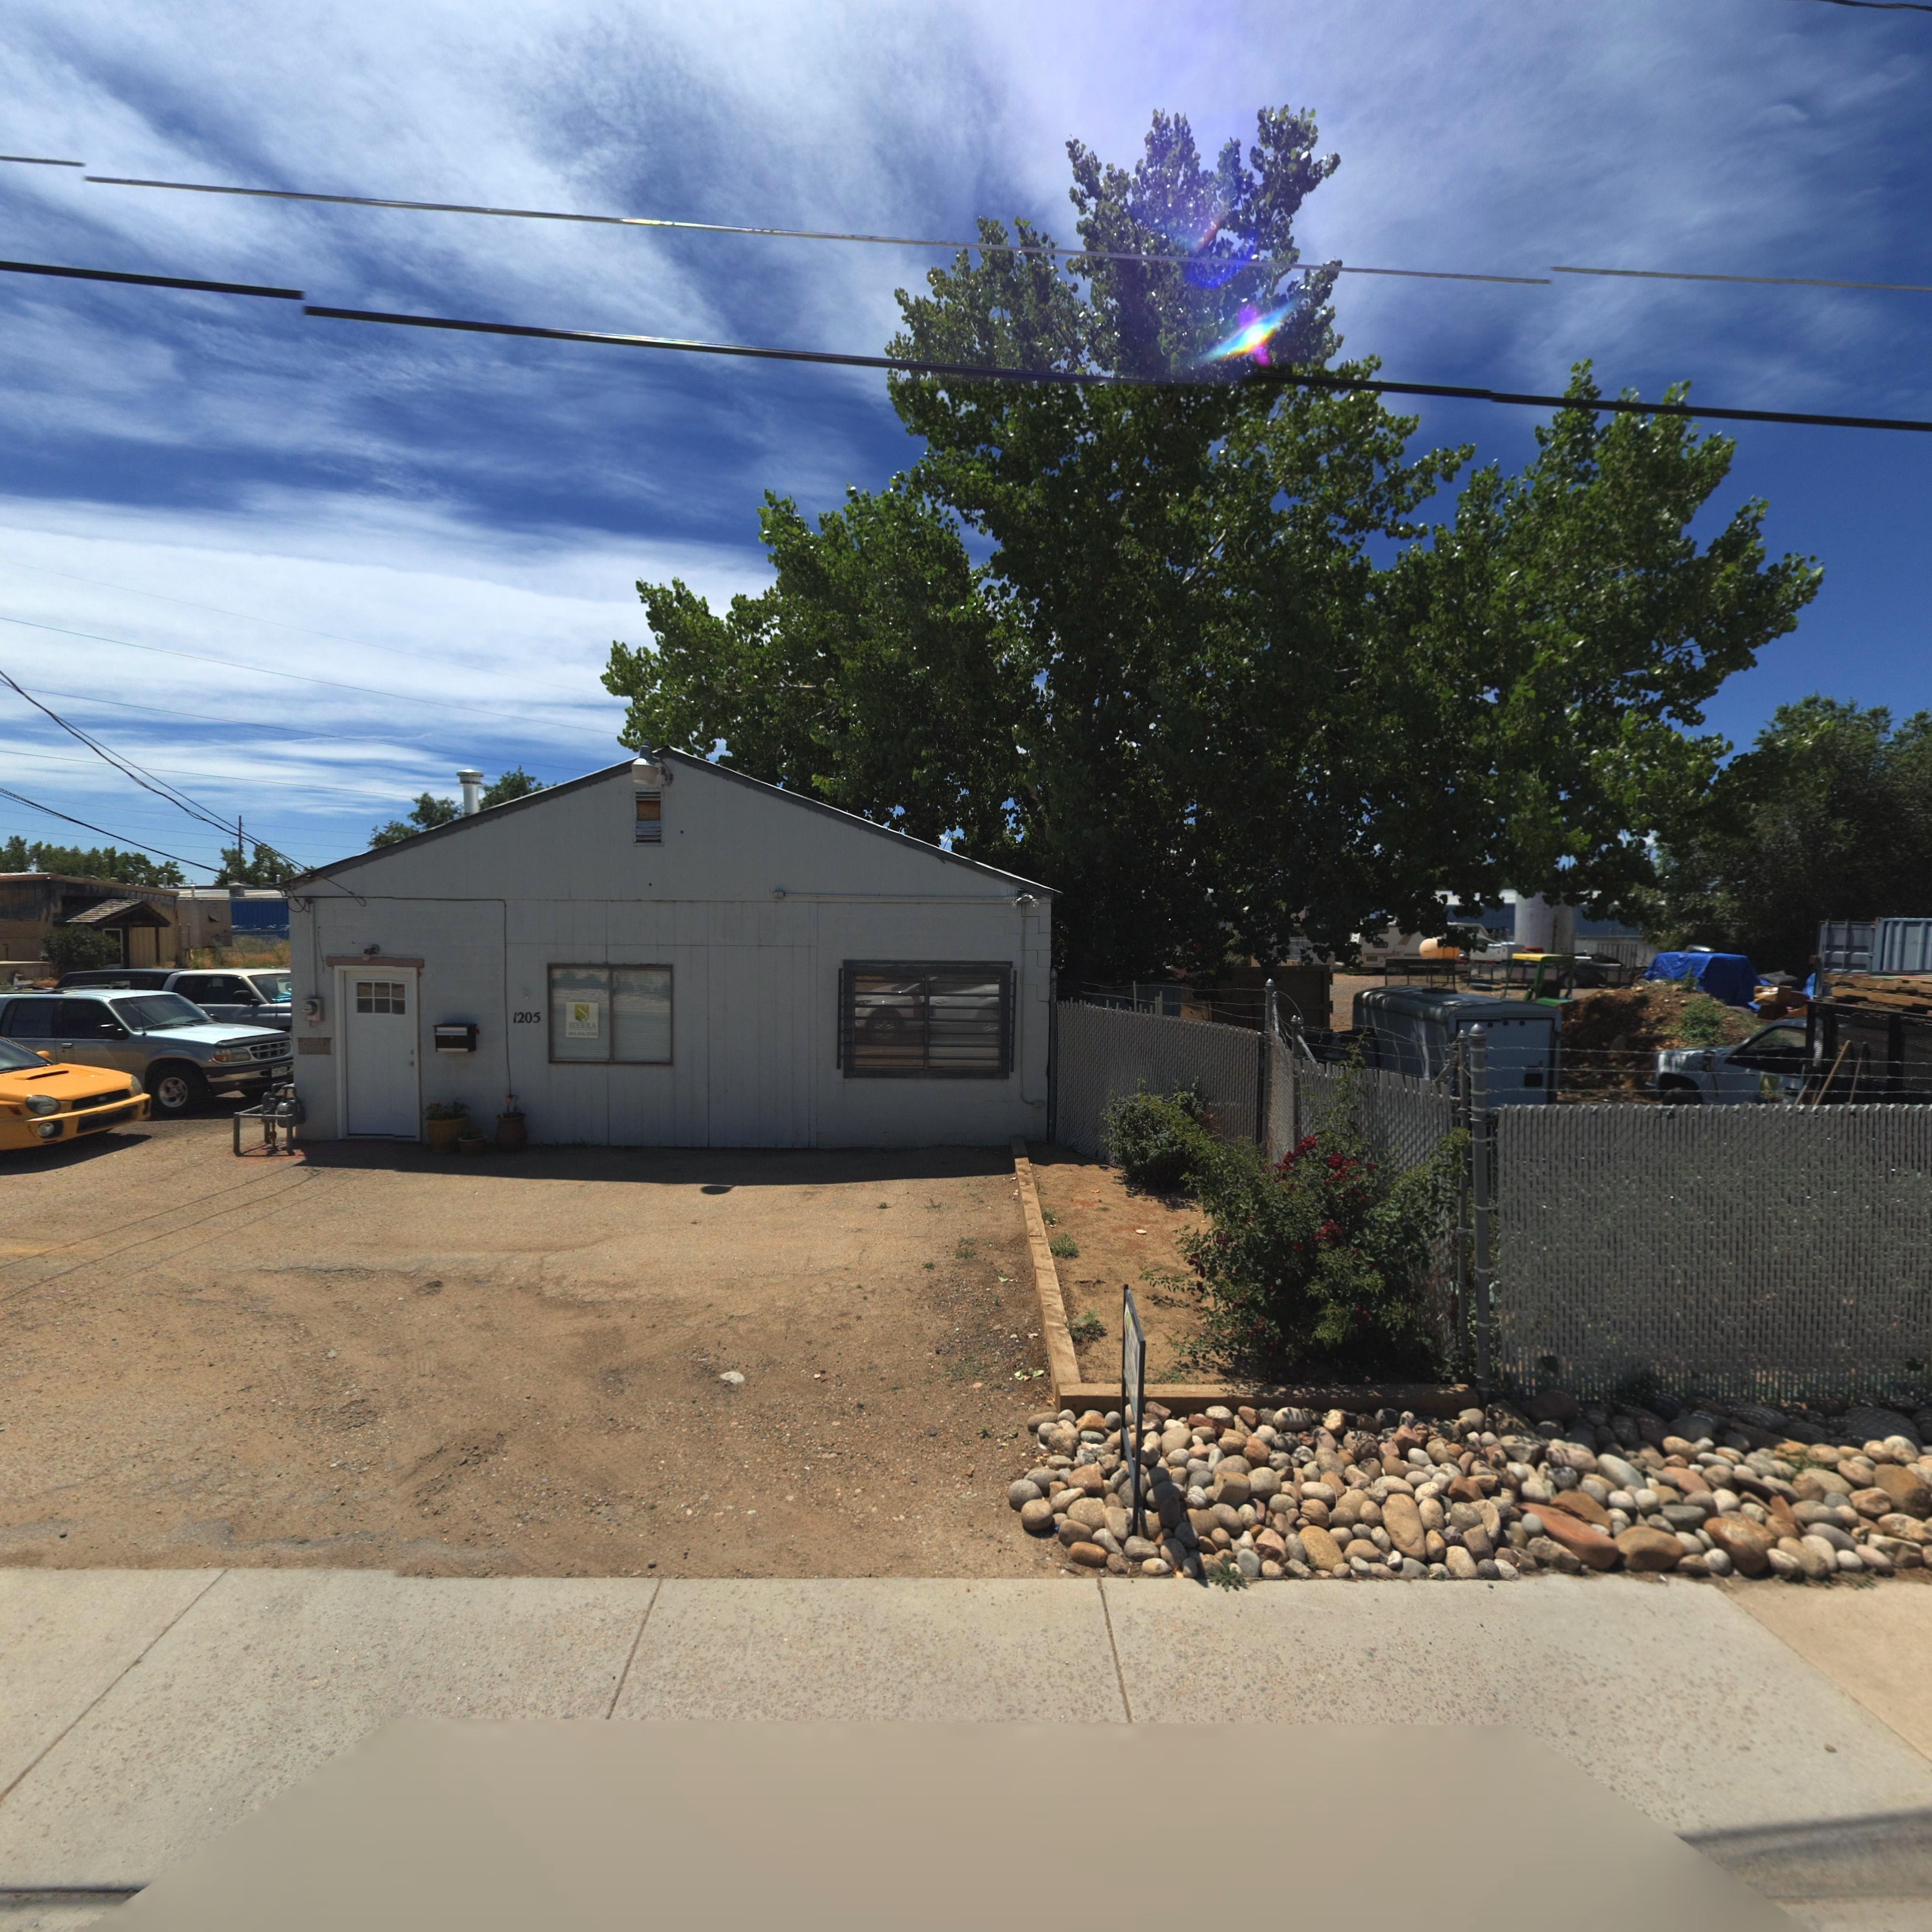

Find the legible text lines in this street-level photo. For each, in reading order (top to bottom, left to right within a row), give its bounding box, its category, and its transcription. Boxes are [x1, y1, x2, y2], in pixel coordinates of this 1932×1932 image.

[512, 1011, 541, 1024] StreetNumber: 1205
[568, 1022, 597, 1029] BusinessName: SIERRA